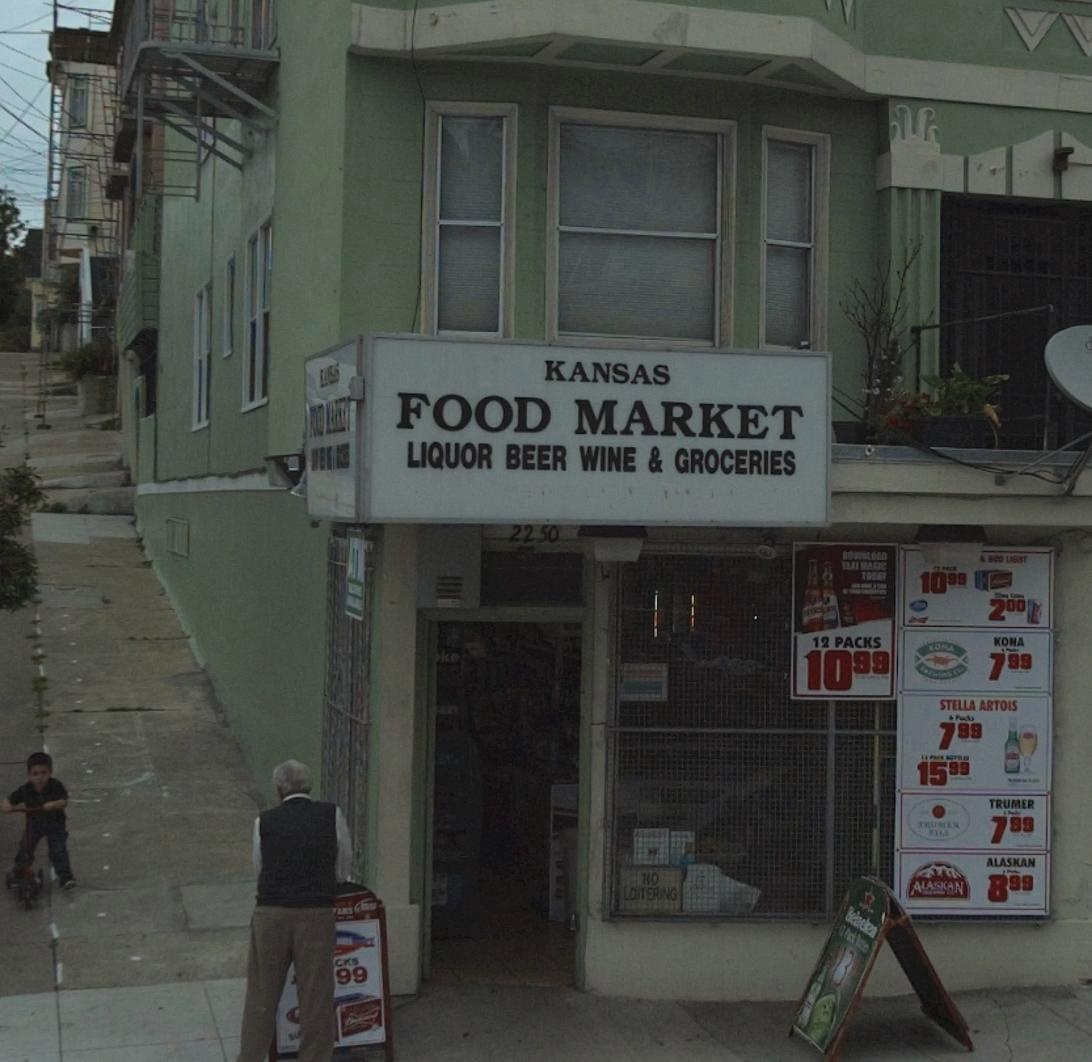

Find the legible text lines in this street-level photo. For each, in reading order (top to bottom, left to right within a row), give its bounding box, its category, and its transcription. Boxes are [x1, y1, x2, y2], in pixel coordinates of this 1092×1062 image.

[542, 357, 671, 388] BusinessName: KANSAS
[393, 389, 806, 442] BusinessName: FOOD MARKET
[404, 439, 796, 478] None: LIQUOR BEER WINE & GROCERIES
[506, 524, 561, 545] StreetNumber: 2250
[987, 554, 1029, 565] None: B*D LIGHT
[918, 570, 967, 595] None: 1099
[987, 597, 1027, 623] None: 200
[811, 634, 883, 650] None: 12 PACKS
[992, 635, 1026, 648] None: KONA
[802, 648, 890, 692] None: 1099
[988, 652, 1033, 683] None: 799
[938, 698, 1019, 712] None: STELLA ARTOIS
[937, 721, 982, 751] None: 799
[914, 760, 970, 787] None: 1599
[989, 797, 1036, 810] None: TRUMER
[990, 814, 1035, 846] None: 799
[985, 855, 1037, 869] None: ALASKAN
[641, 871, 659, 887] None: NO
[622, 885, 678, 901] None: LOITERING
[908, 880, 964, 897] None: ALASKAN
[985, 874, 1035, 904] None: 899
[333, 957, 352, 968] None: CK
[335, 965, 369, 987] None: 99